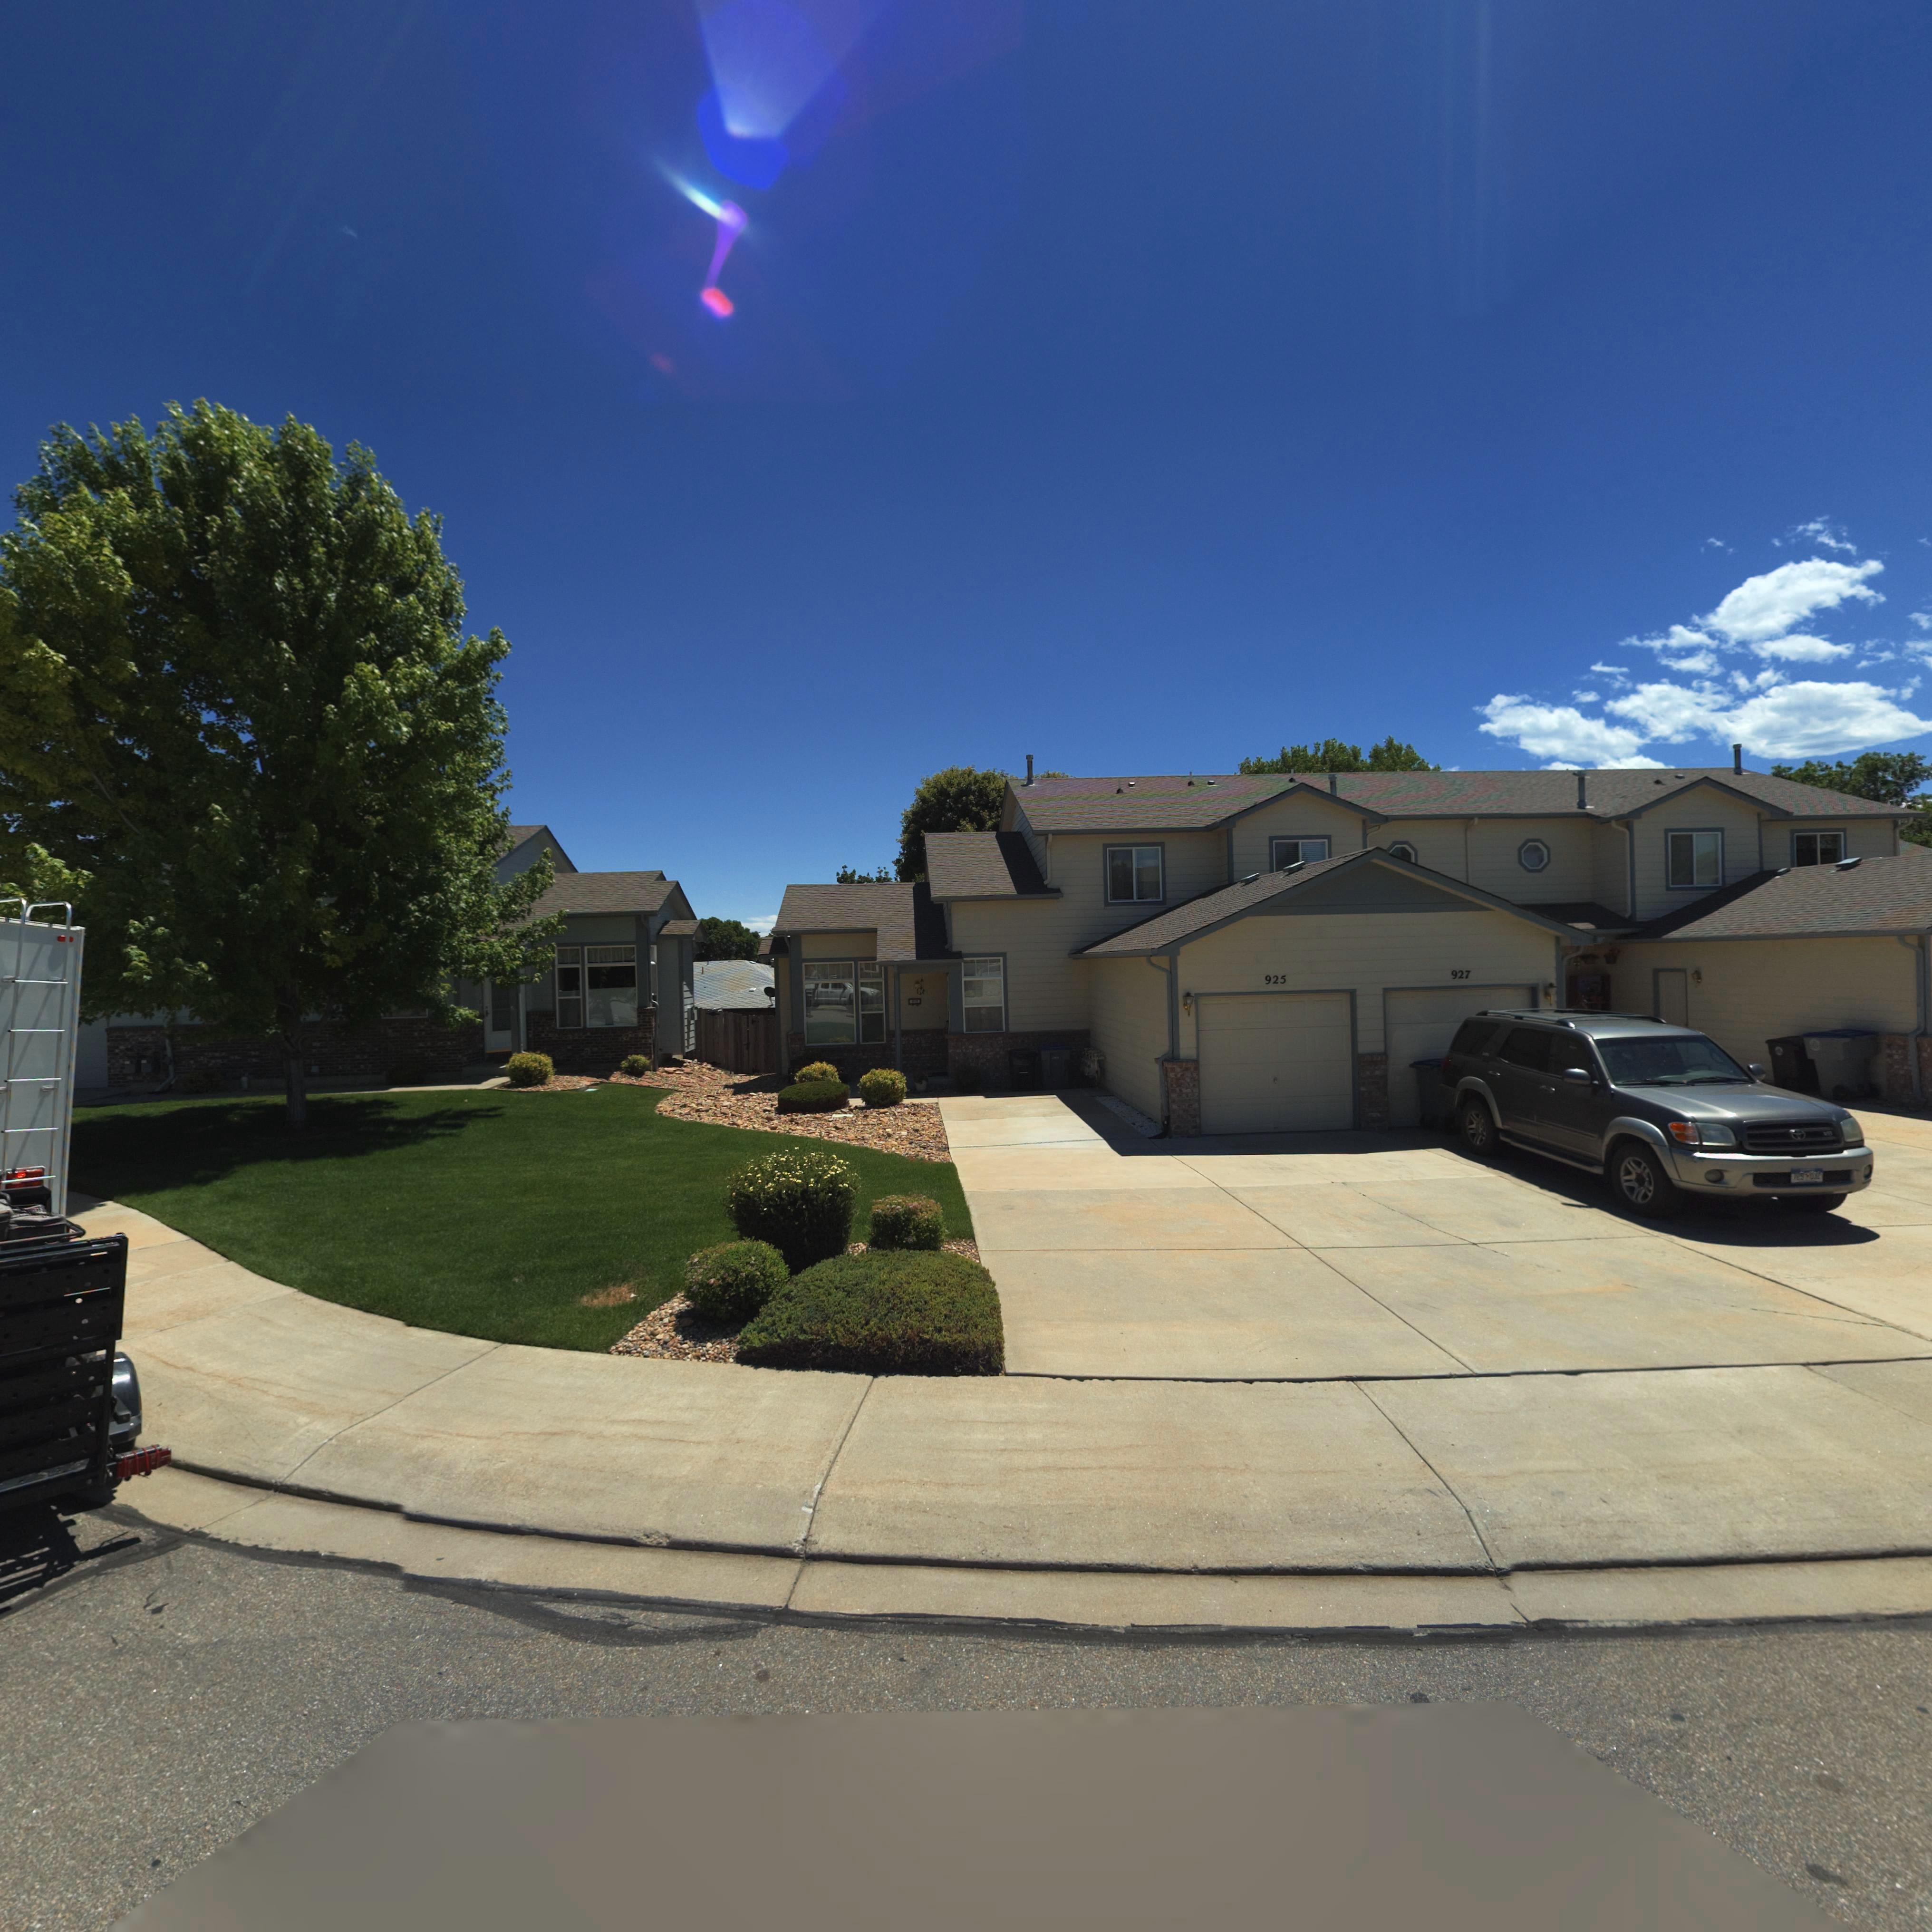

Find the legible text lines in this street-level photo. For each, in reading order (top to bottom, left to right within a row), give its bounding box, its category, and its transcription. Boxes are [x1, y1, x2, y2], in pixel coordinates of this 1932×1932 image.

[1451, 969, 1471, 979] StreetNumber: 927
[1265, 975, 1286, 985] StreetNumber: 925